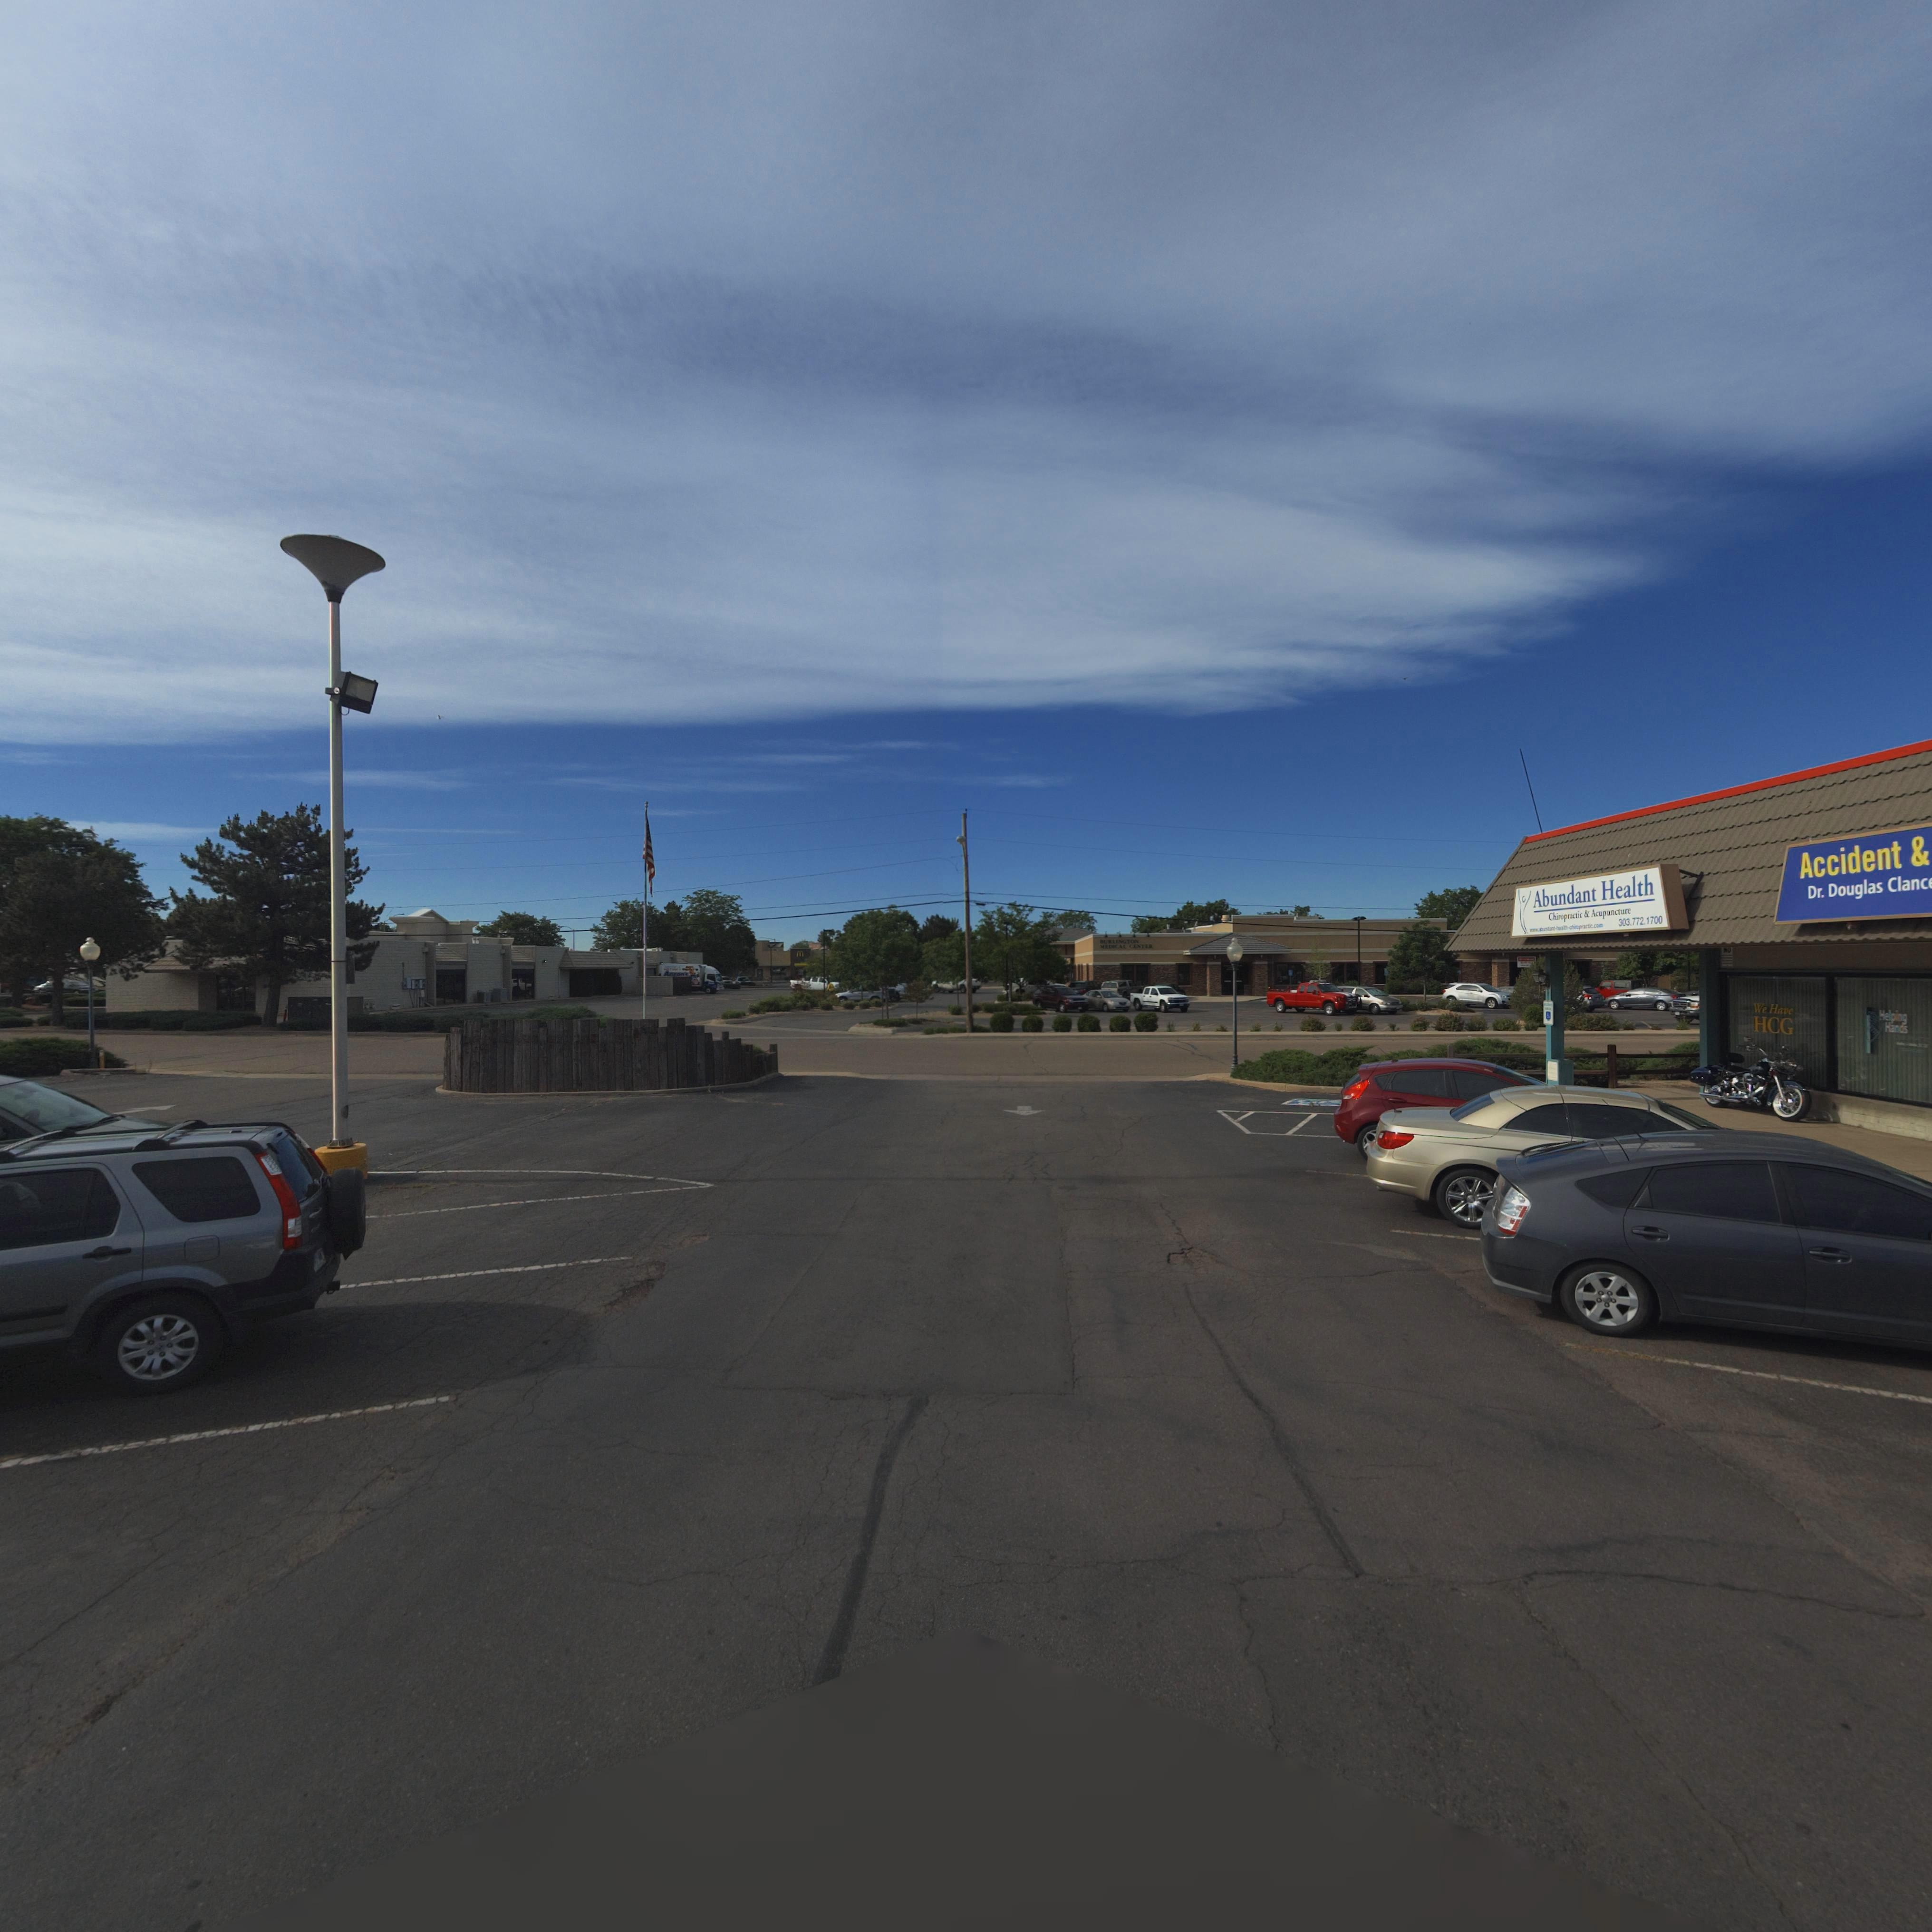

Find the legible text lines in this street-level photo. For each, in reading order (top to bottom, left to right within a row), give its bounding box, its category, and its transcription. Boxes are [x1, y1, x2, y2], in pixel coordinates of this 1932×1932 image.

[1799, 839, 1904, 880] BusinessName: Accident
[1532, 872, 1655, 908] BusinessName: Abundant Health
[1100, 939, 1139, 944] BusinessName: BURLINGTON
[1100, 943, 1153, 949] BusinessName: MEDICAL CENTER